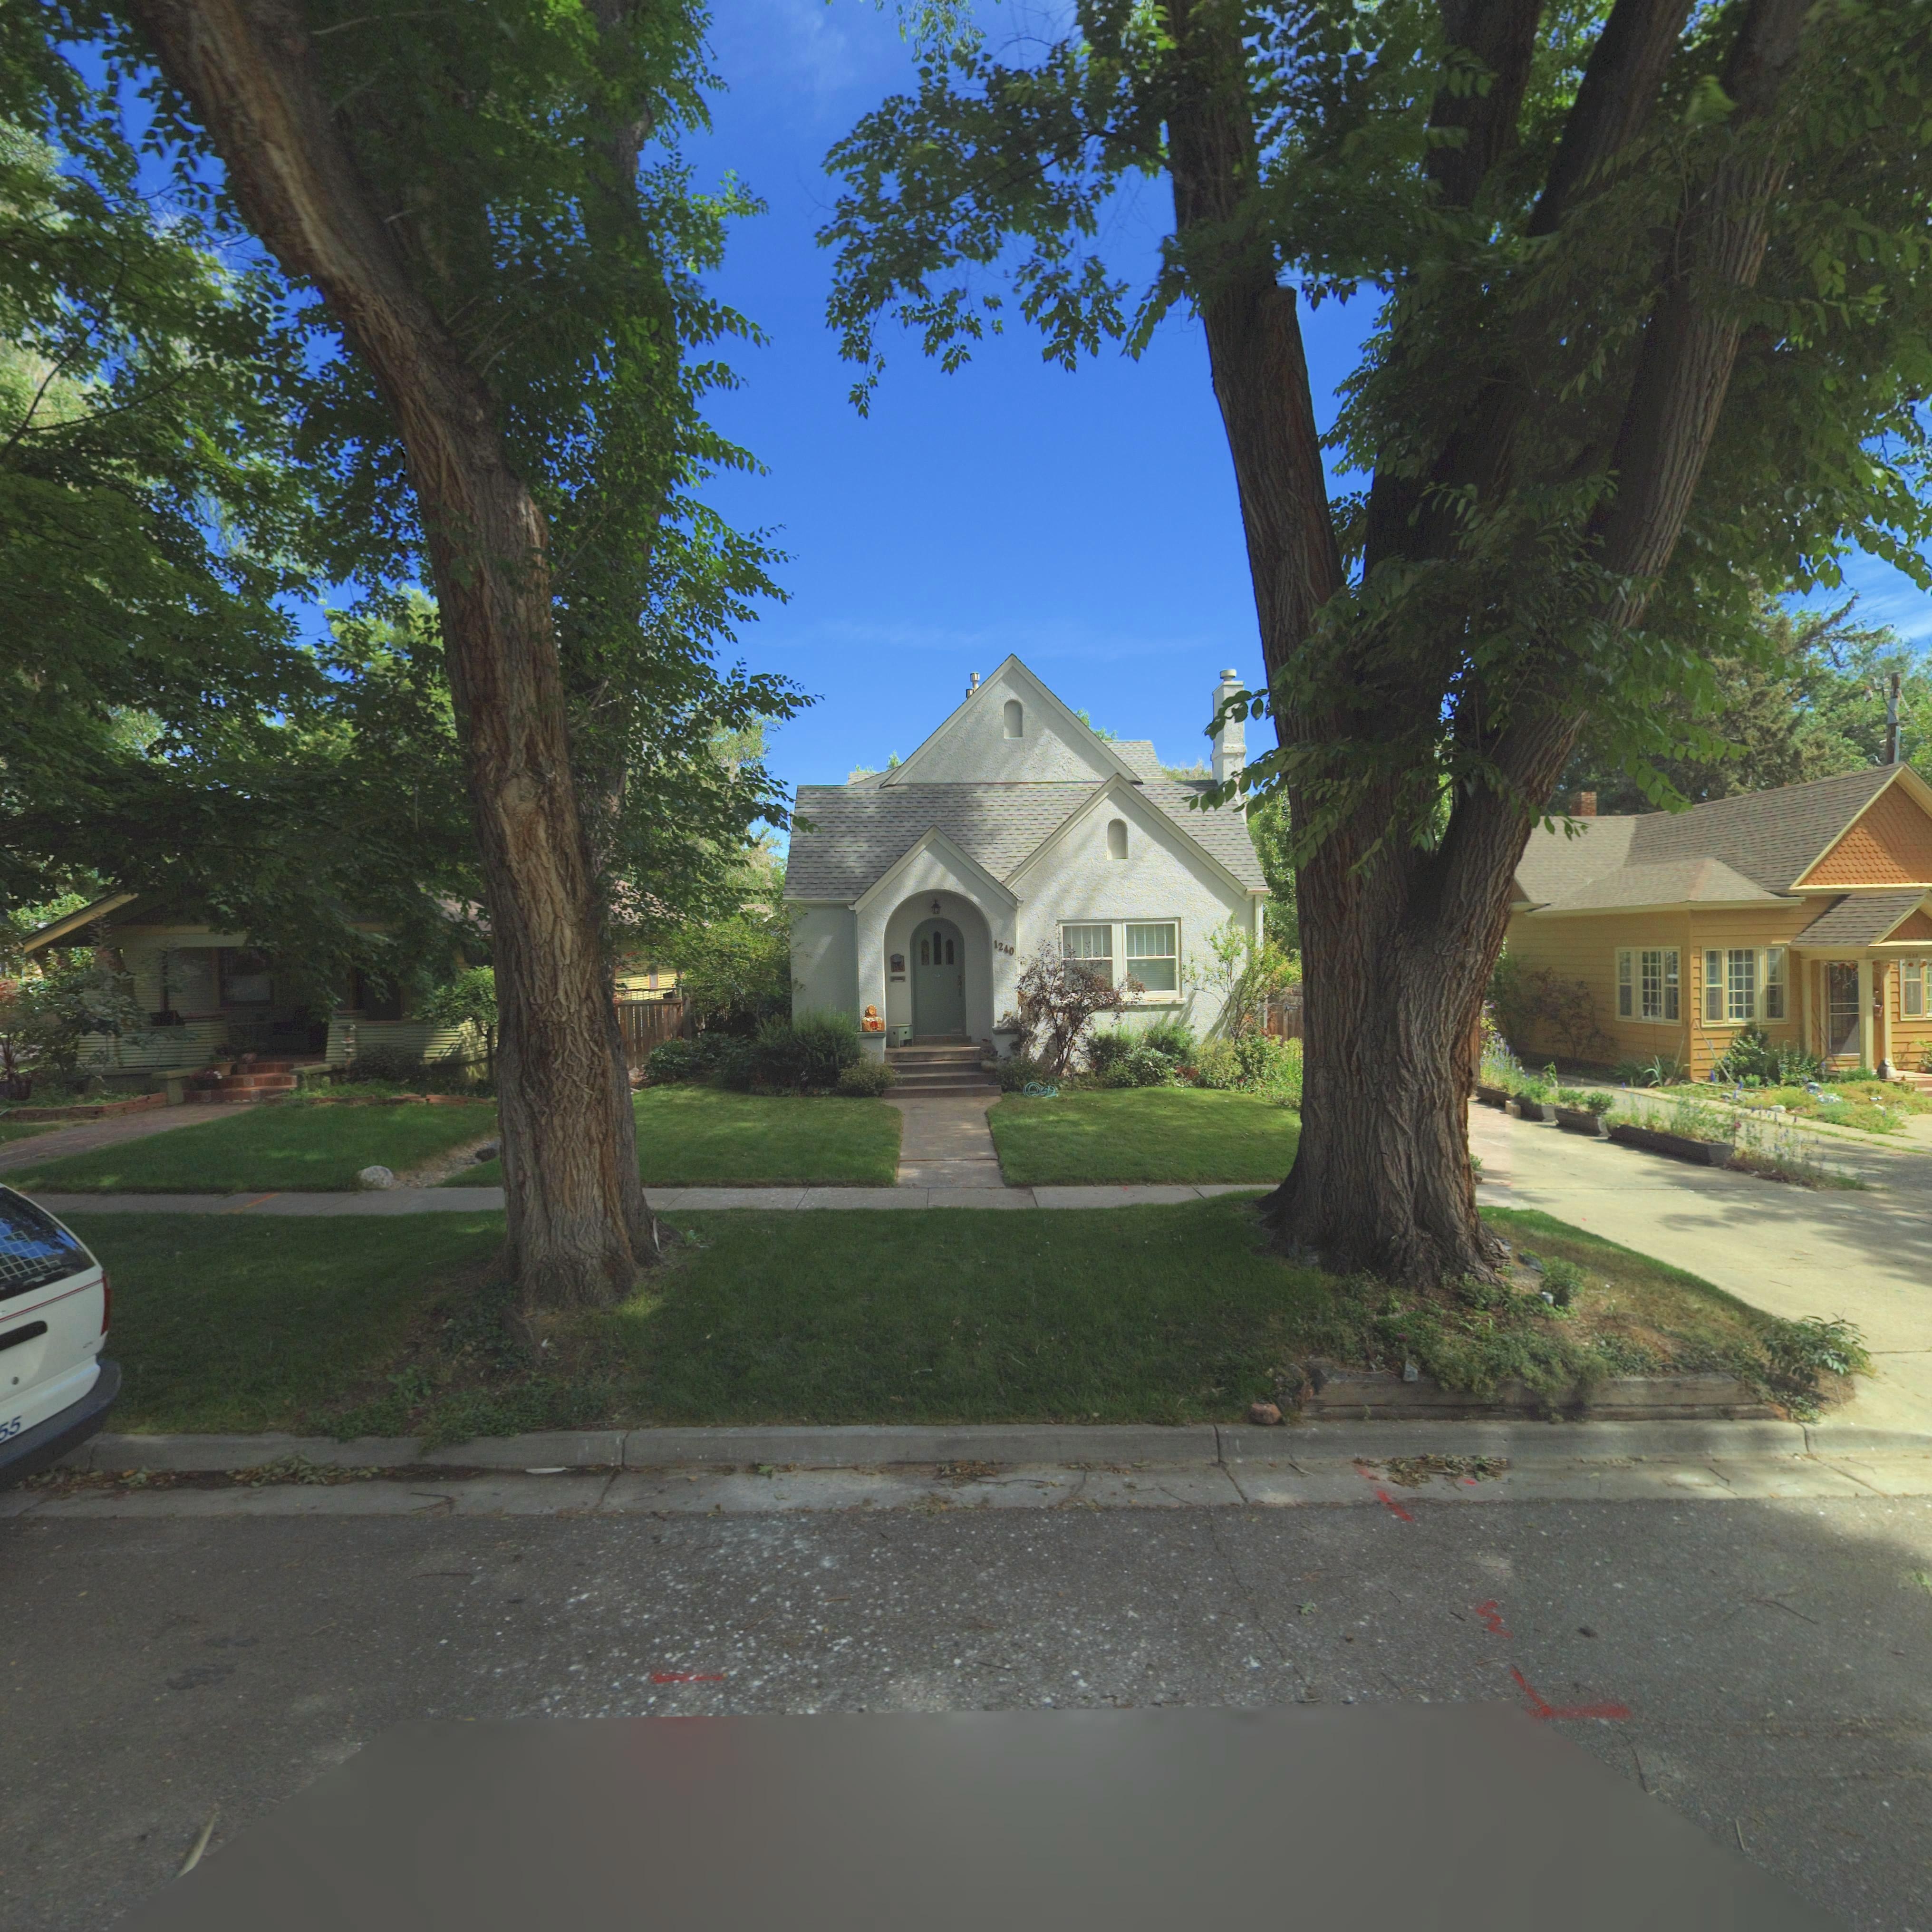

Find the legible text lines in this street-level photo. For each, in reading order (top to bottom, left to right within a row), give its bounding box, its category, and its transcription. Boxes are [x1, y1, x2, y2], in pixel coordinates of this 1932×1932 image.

[994, 939, 1014, 955] StreetNumber: 1240